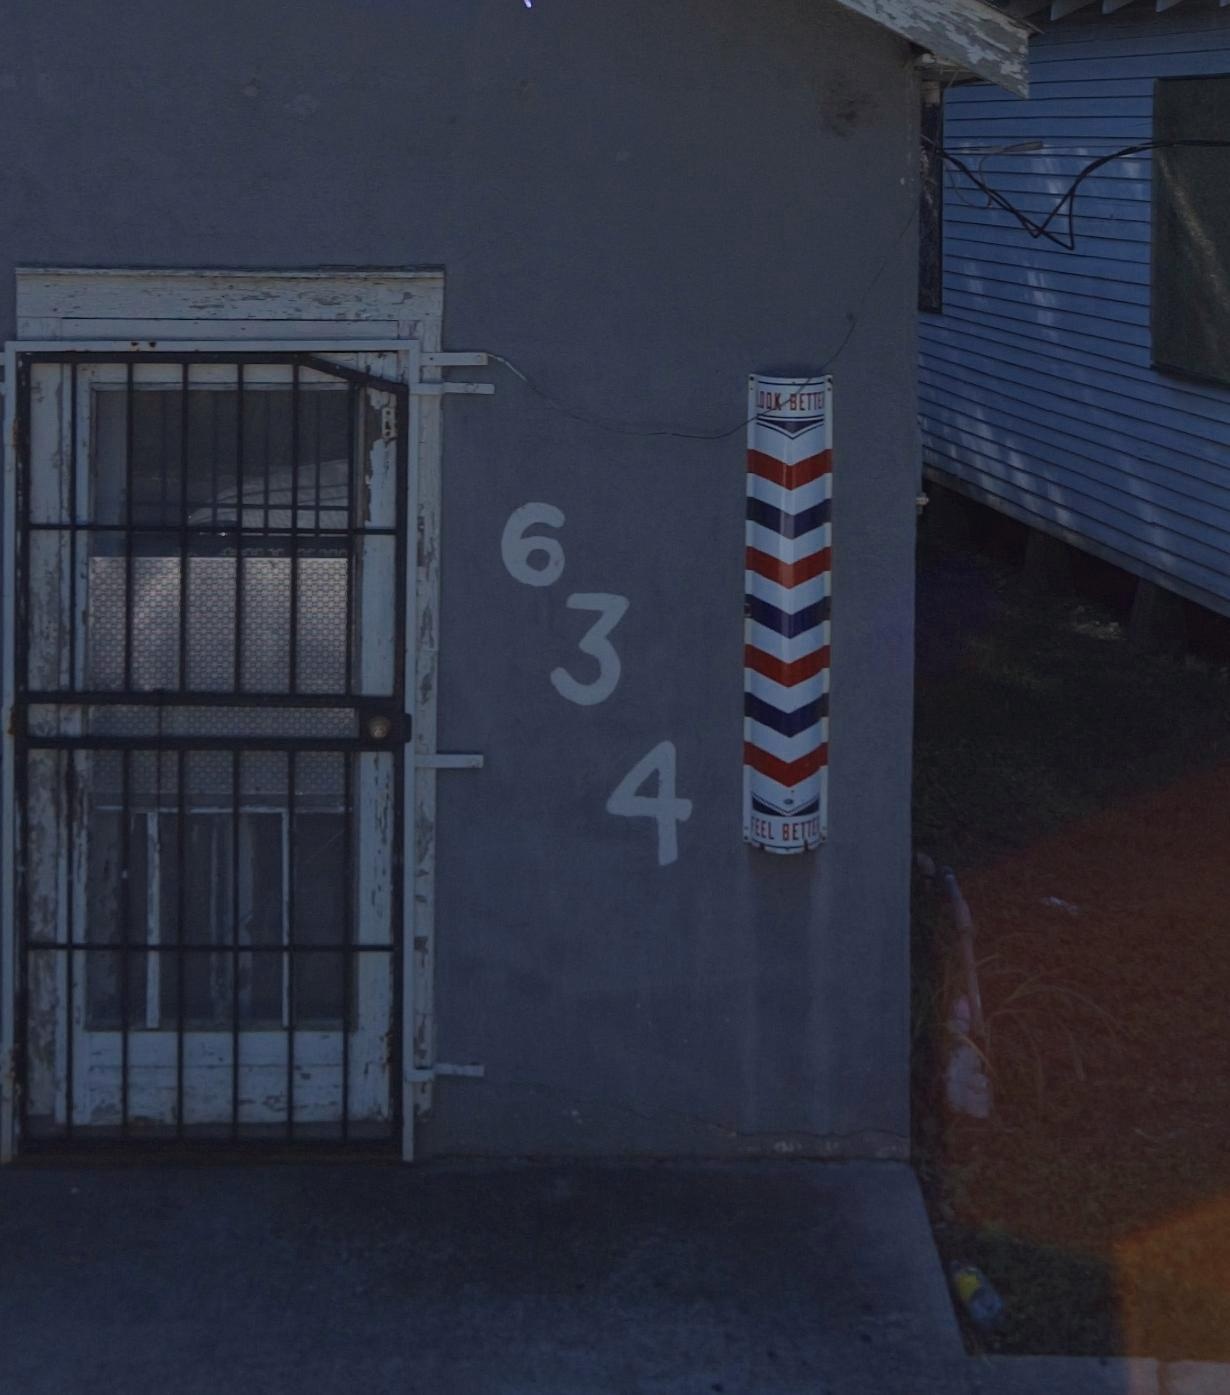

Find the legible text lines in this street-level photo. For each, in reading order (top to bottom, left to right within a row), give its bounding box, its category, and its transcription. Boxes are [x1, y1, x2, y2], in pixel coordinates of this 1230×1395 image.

[757, 389, 824, 412] None: OOK BETTE
[490, 493, 701, 872] StreetNumber: 634
[753, 814, 820, 845] None: EEL BETTE